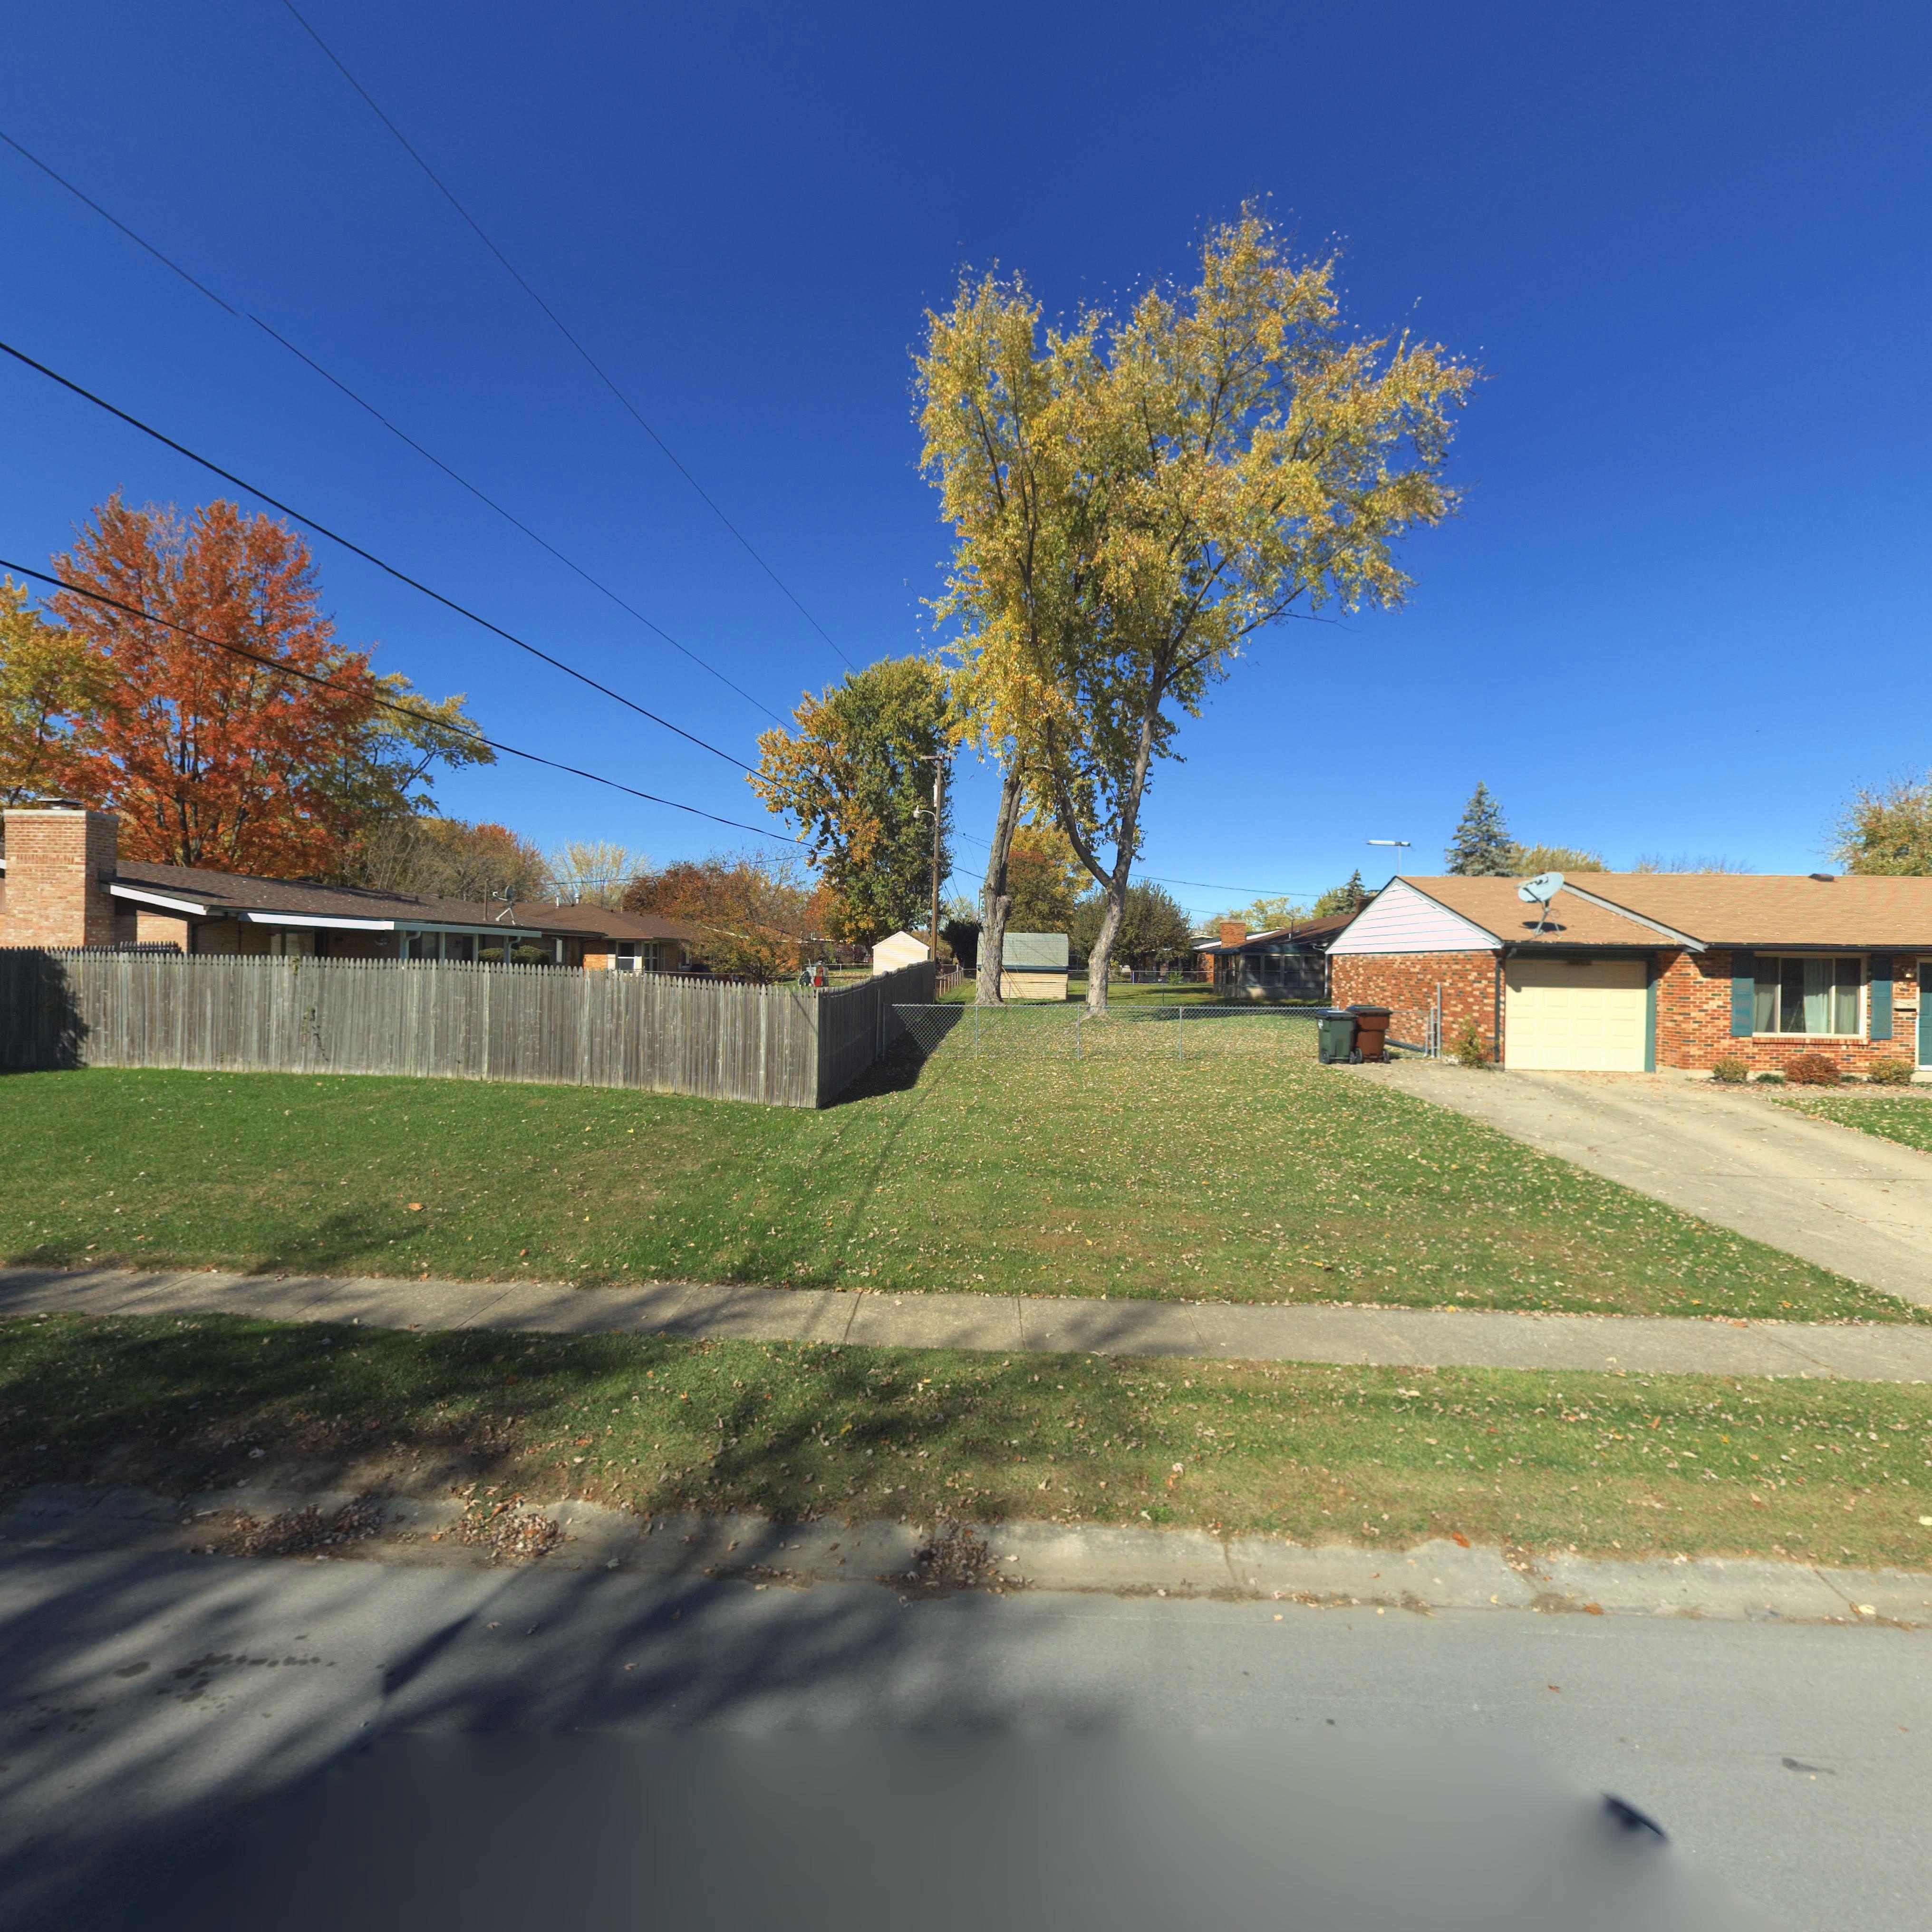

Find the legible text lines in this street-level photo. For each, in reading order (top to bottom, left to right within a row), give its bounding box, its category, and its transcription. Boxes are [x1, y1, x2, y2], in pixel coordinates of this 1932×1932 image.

[1895, 983, 1907, 990] StreetNumber: 100